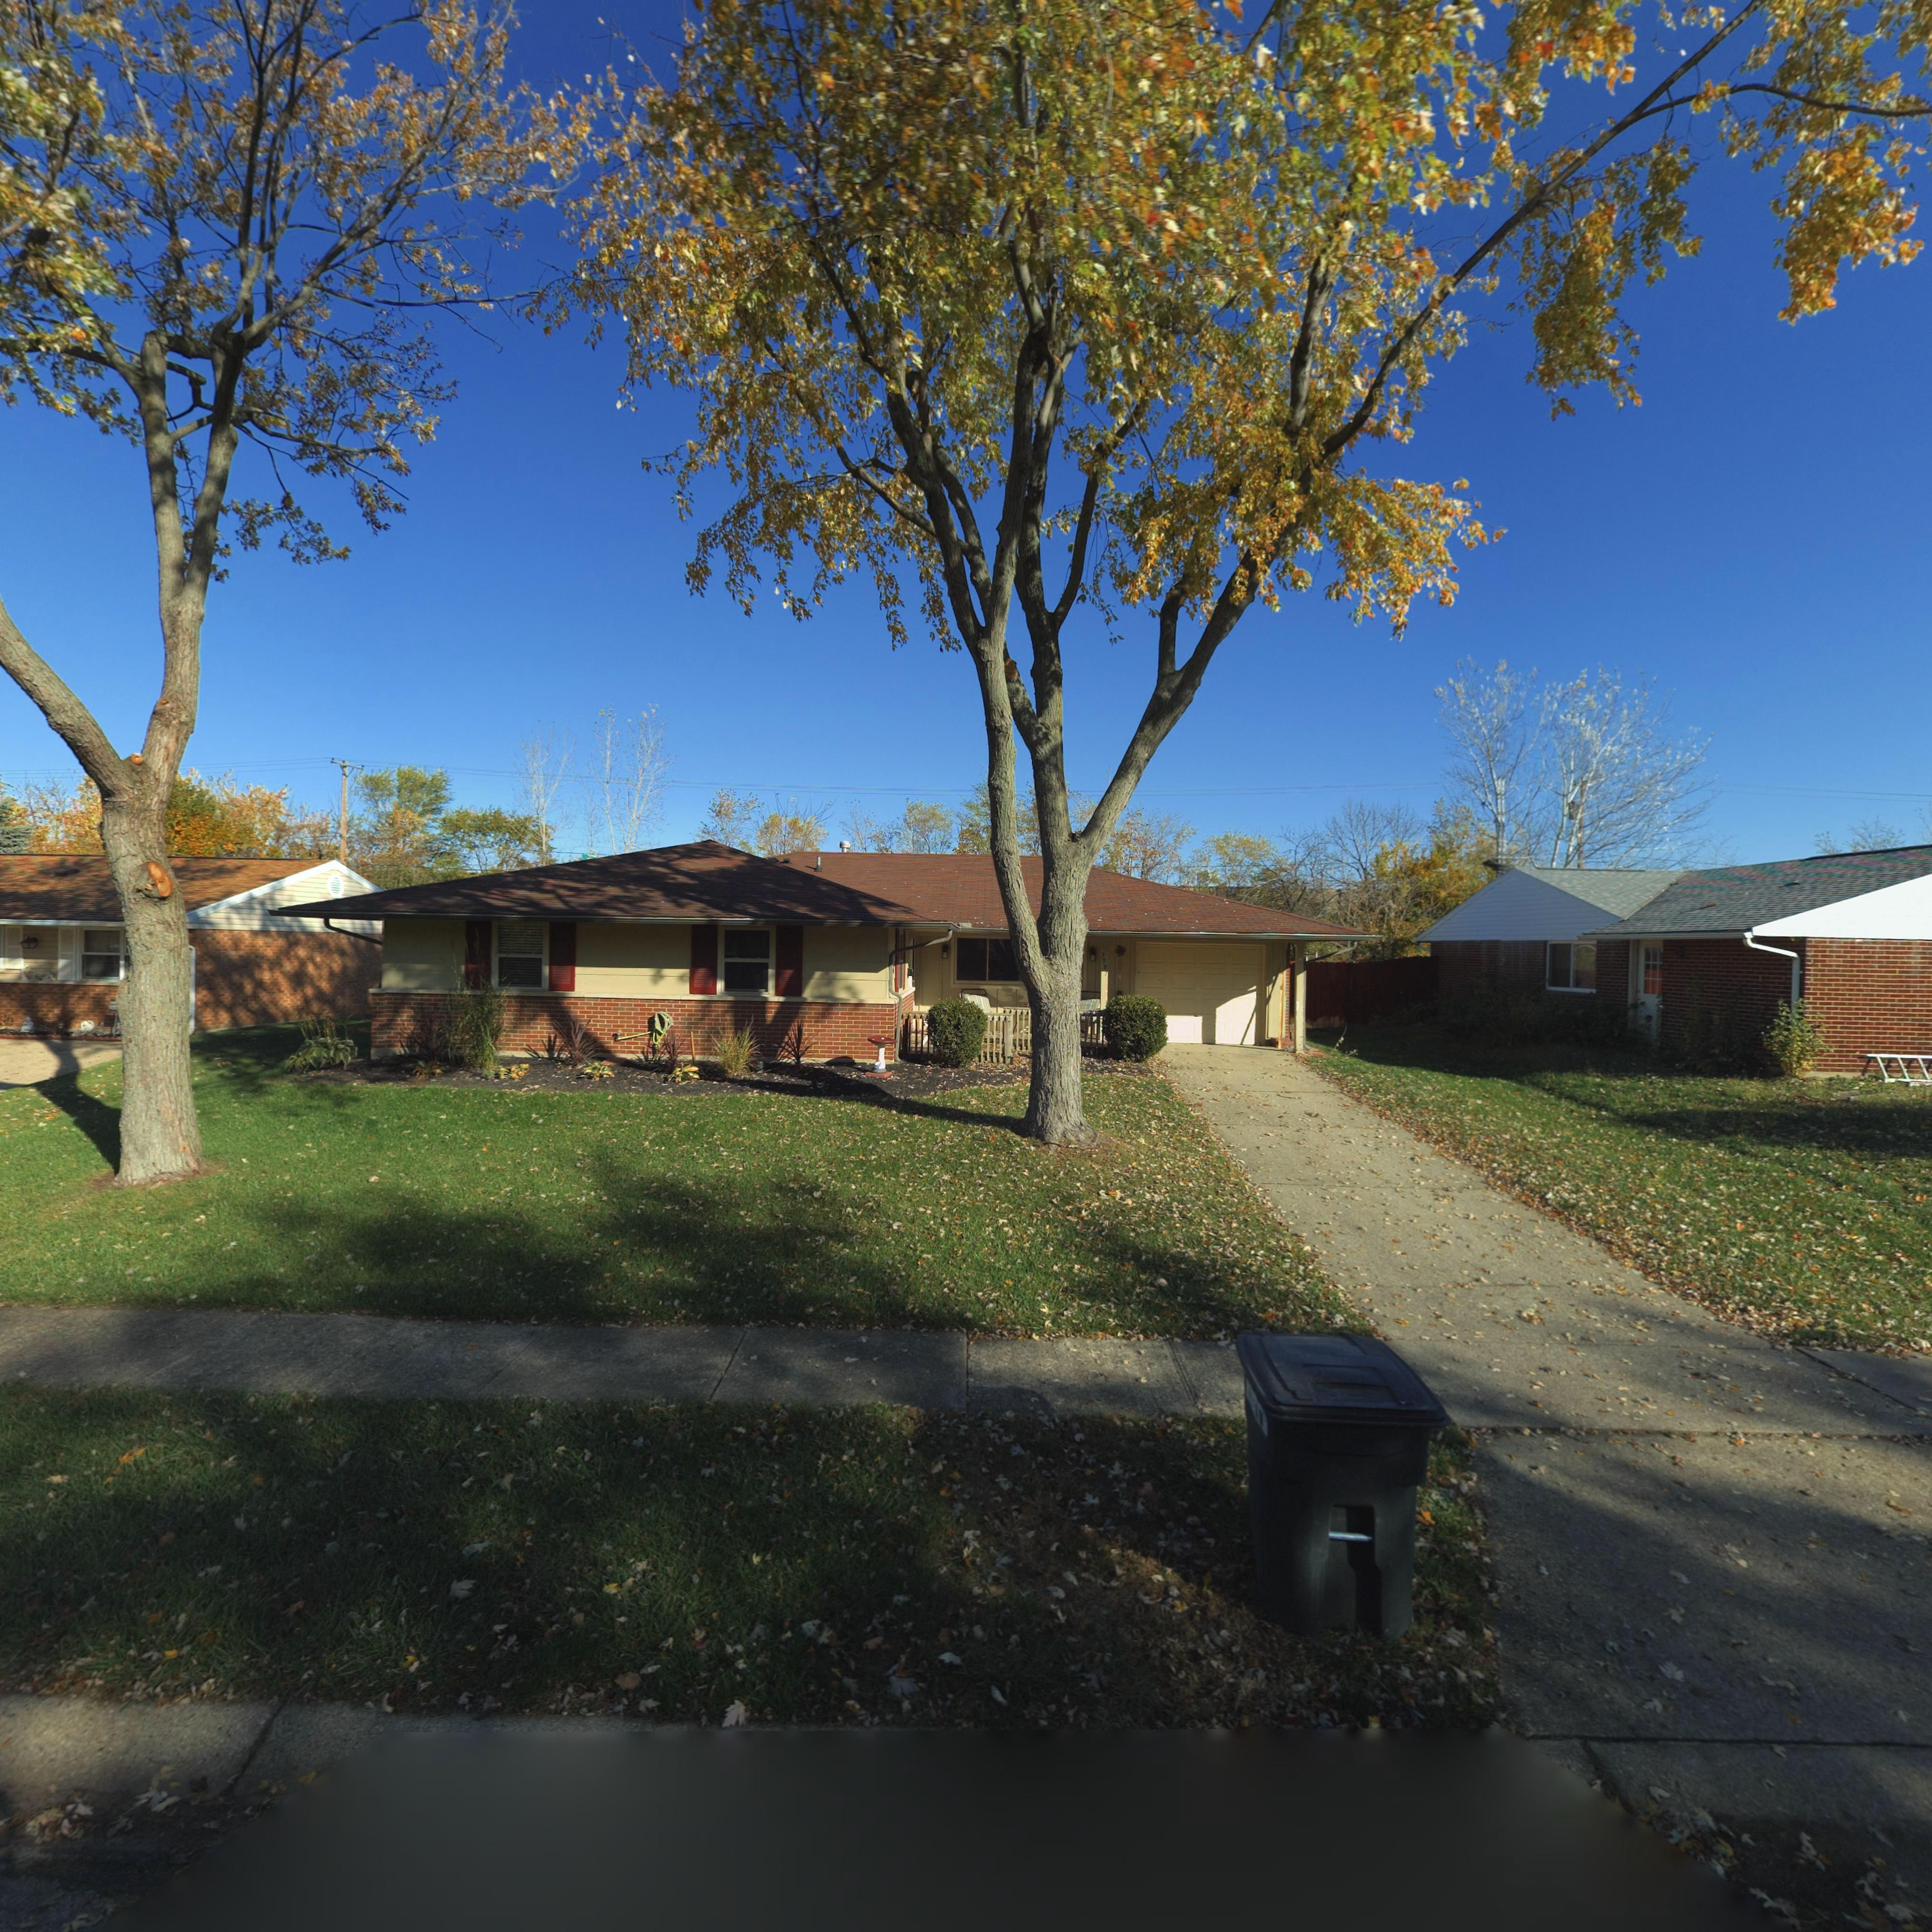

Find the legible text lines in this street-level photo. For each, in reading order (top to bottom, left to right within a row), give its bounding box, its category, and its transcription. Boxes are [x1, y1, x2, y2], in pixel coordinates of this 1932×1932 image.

[1101, 952, 1108, 977] StreetNumber: 7987